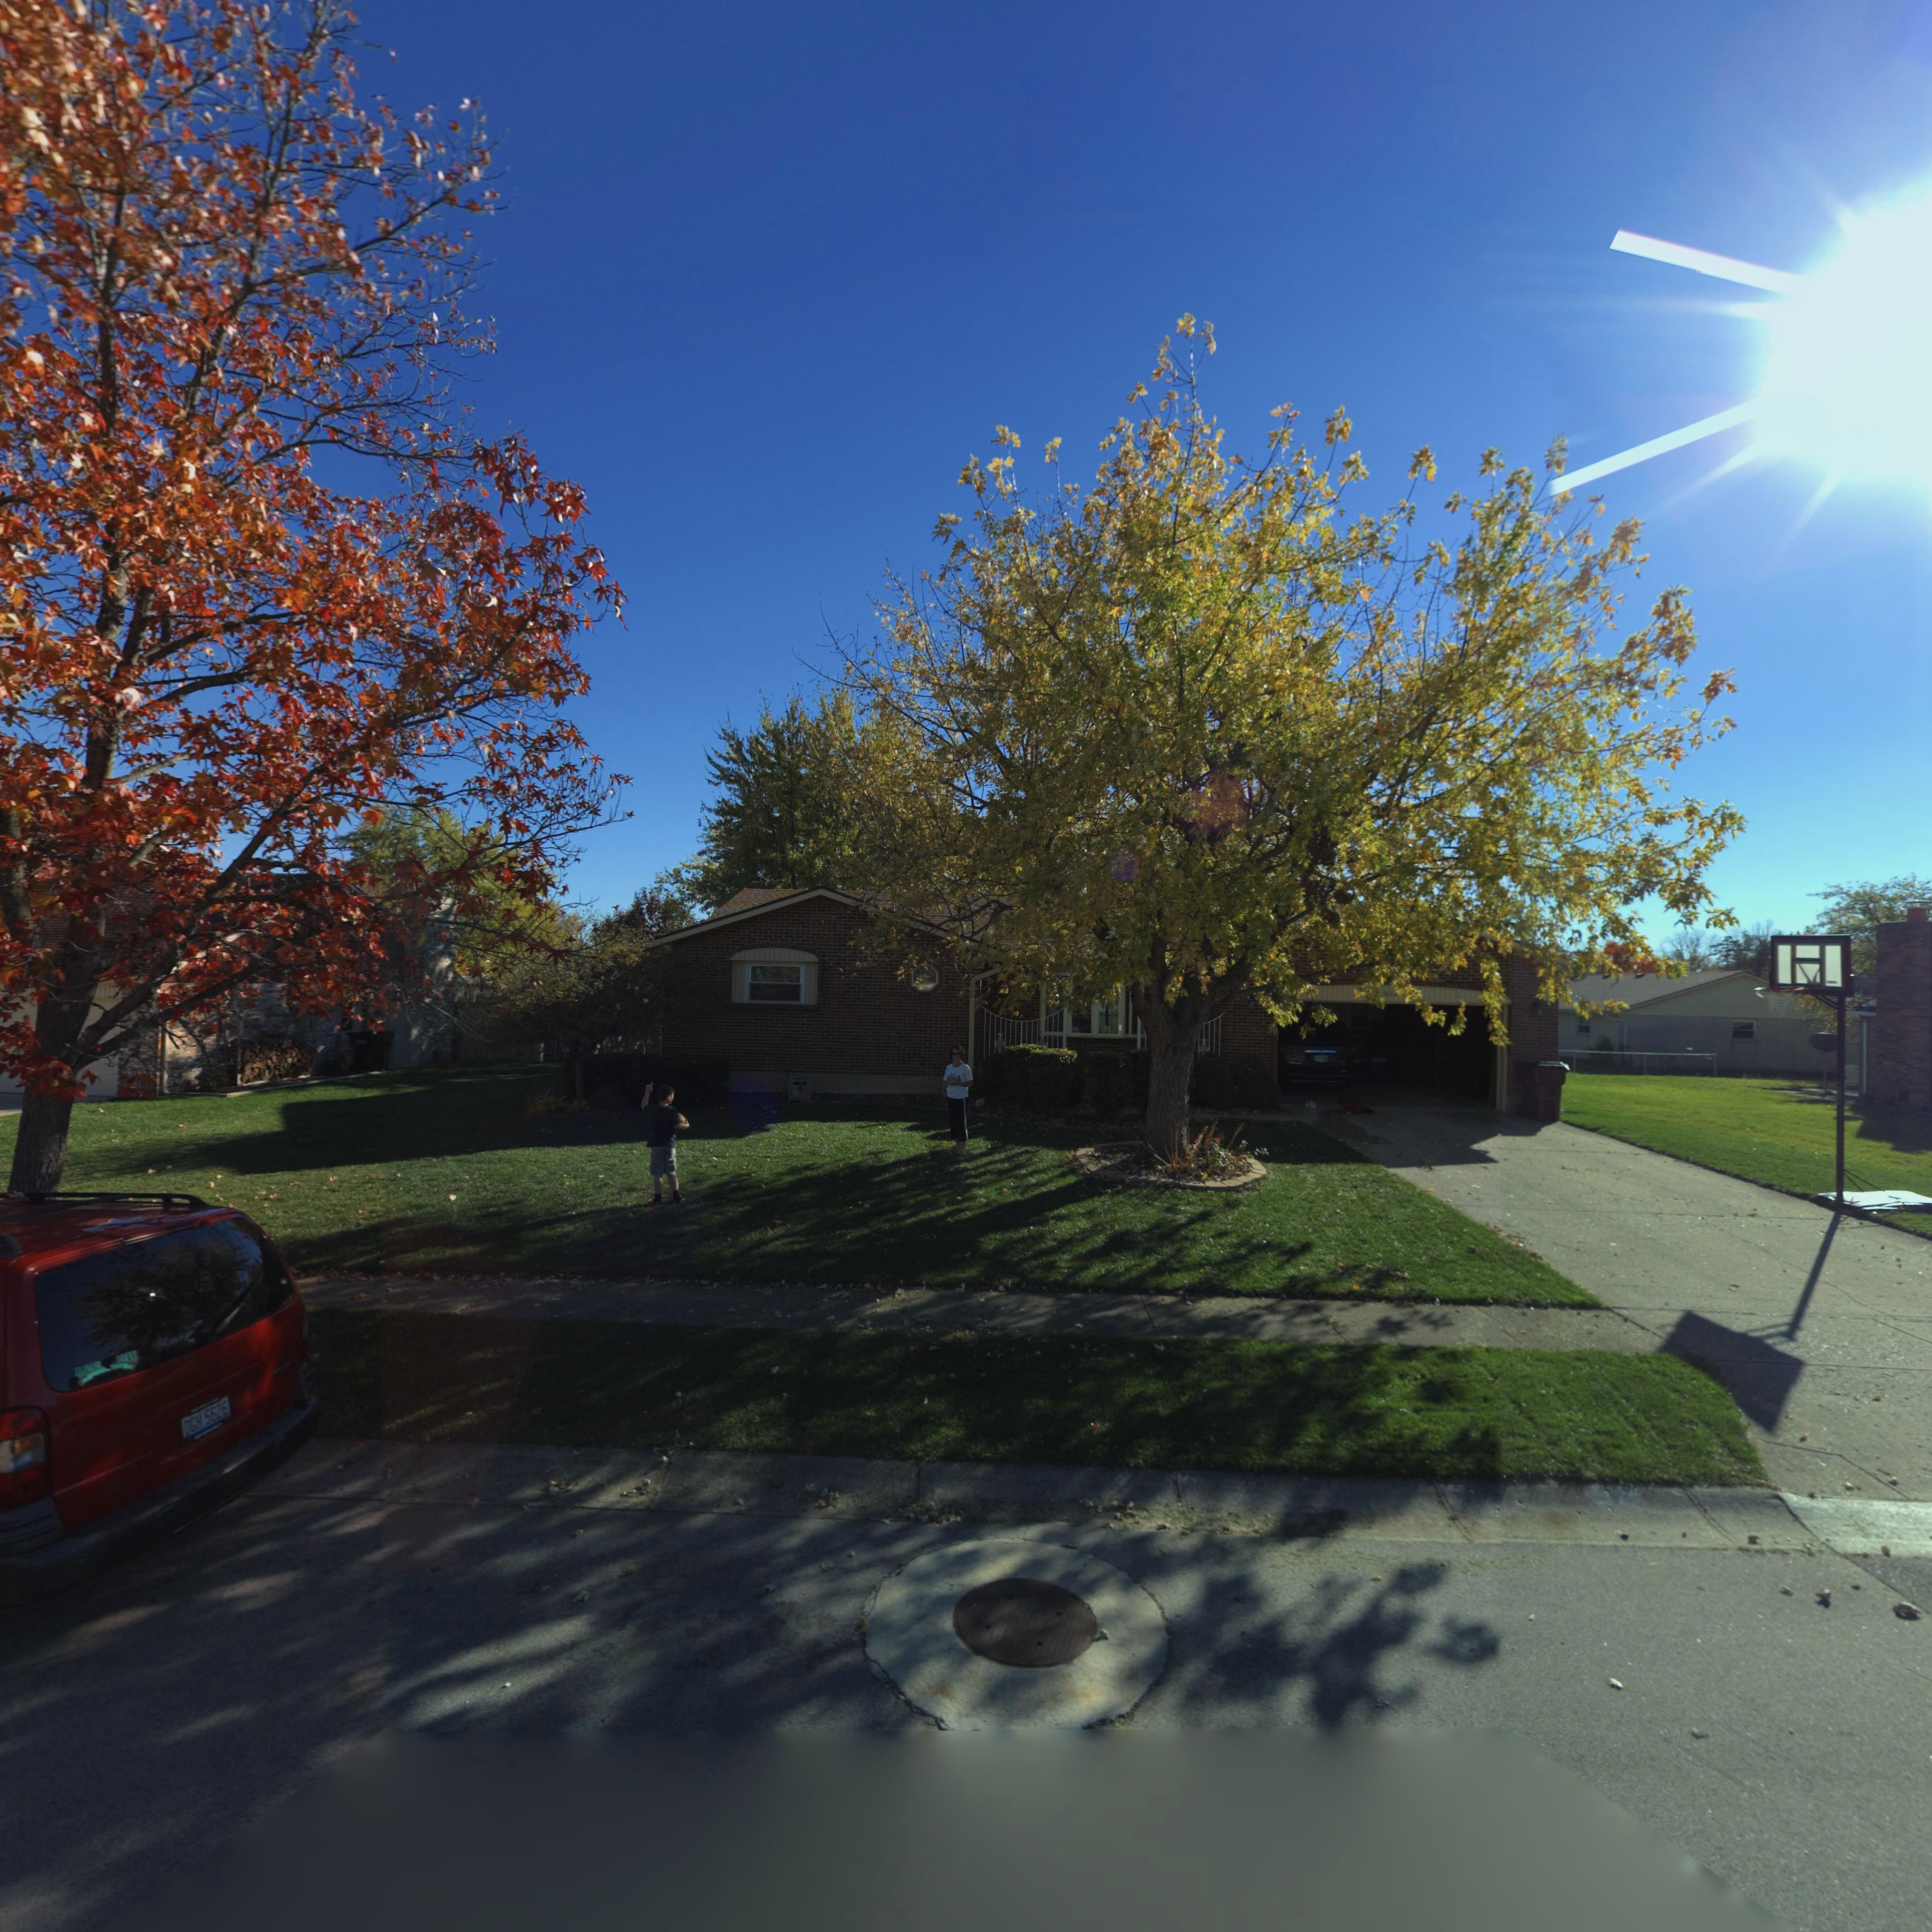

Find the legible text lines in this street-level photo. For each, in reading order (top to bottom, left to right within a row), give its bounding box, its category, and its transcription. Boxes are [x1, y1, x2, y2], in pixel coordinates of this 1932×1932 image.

[1383, 990, 1394, 997] StreetNumber: 46